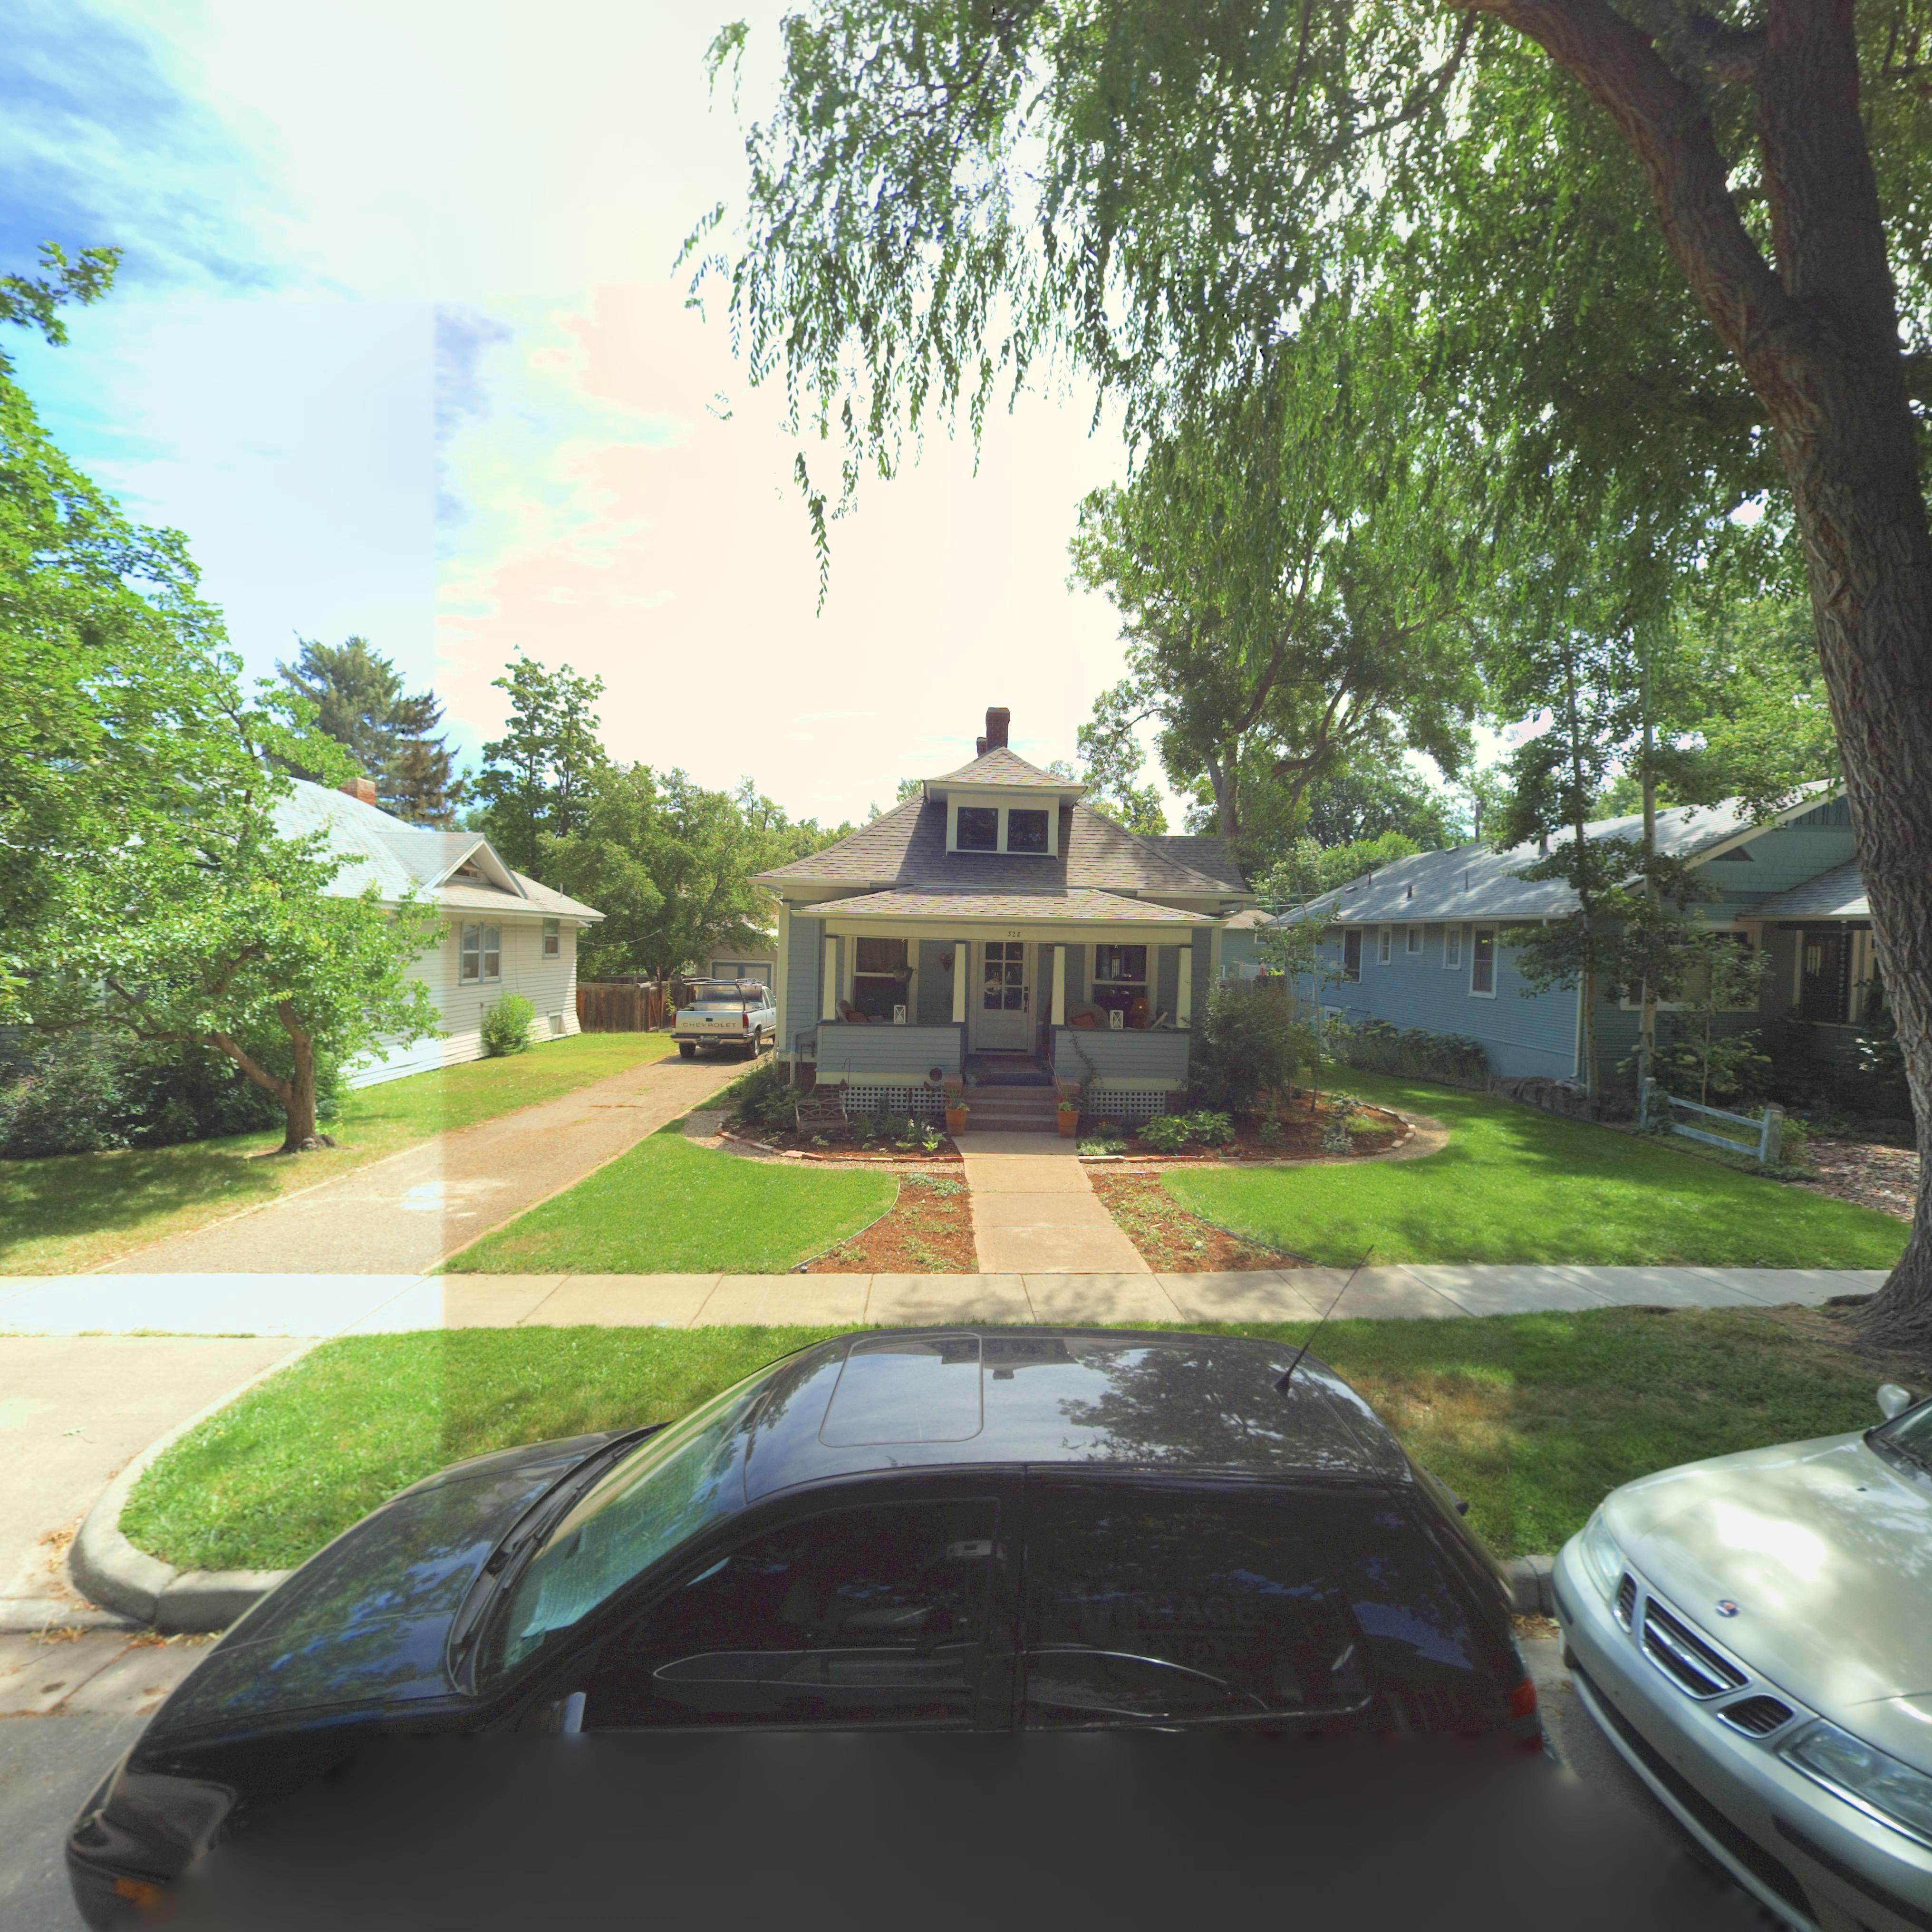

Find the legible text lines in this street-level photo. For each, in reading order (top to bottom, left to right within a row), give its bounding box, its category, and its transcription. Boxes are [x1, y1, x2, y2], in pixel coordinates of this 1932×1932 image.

[1007, 931, 1021, 937] StreetNumber: 328